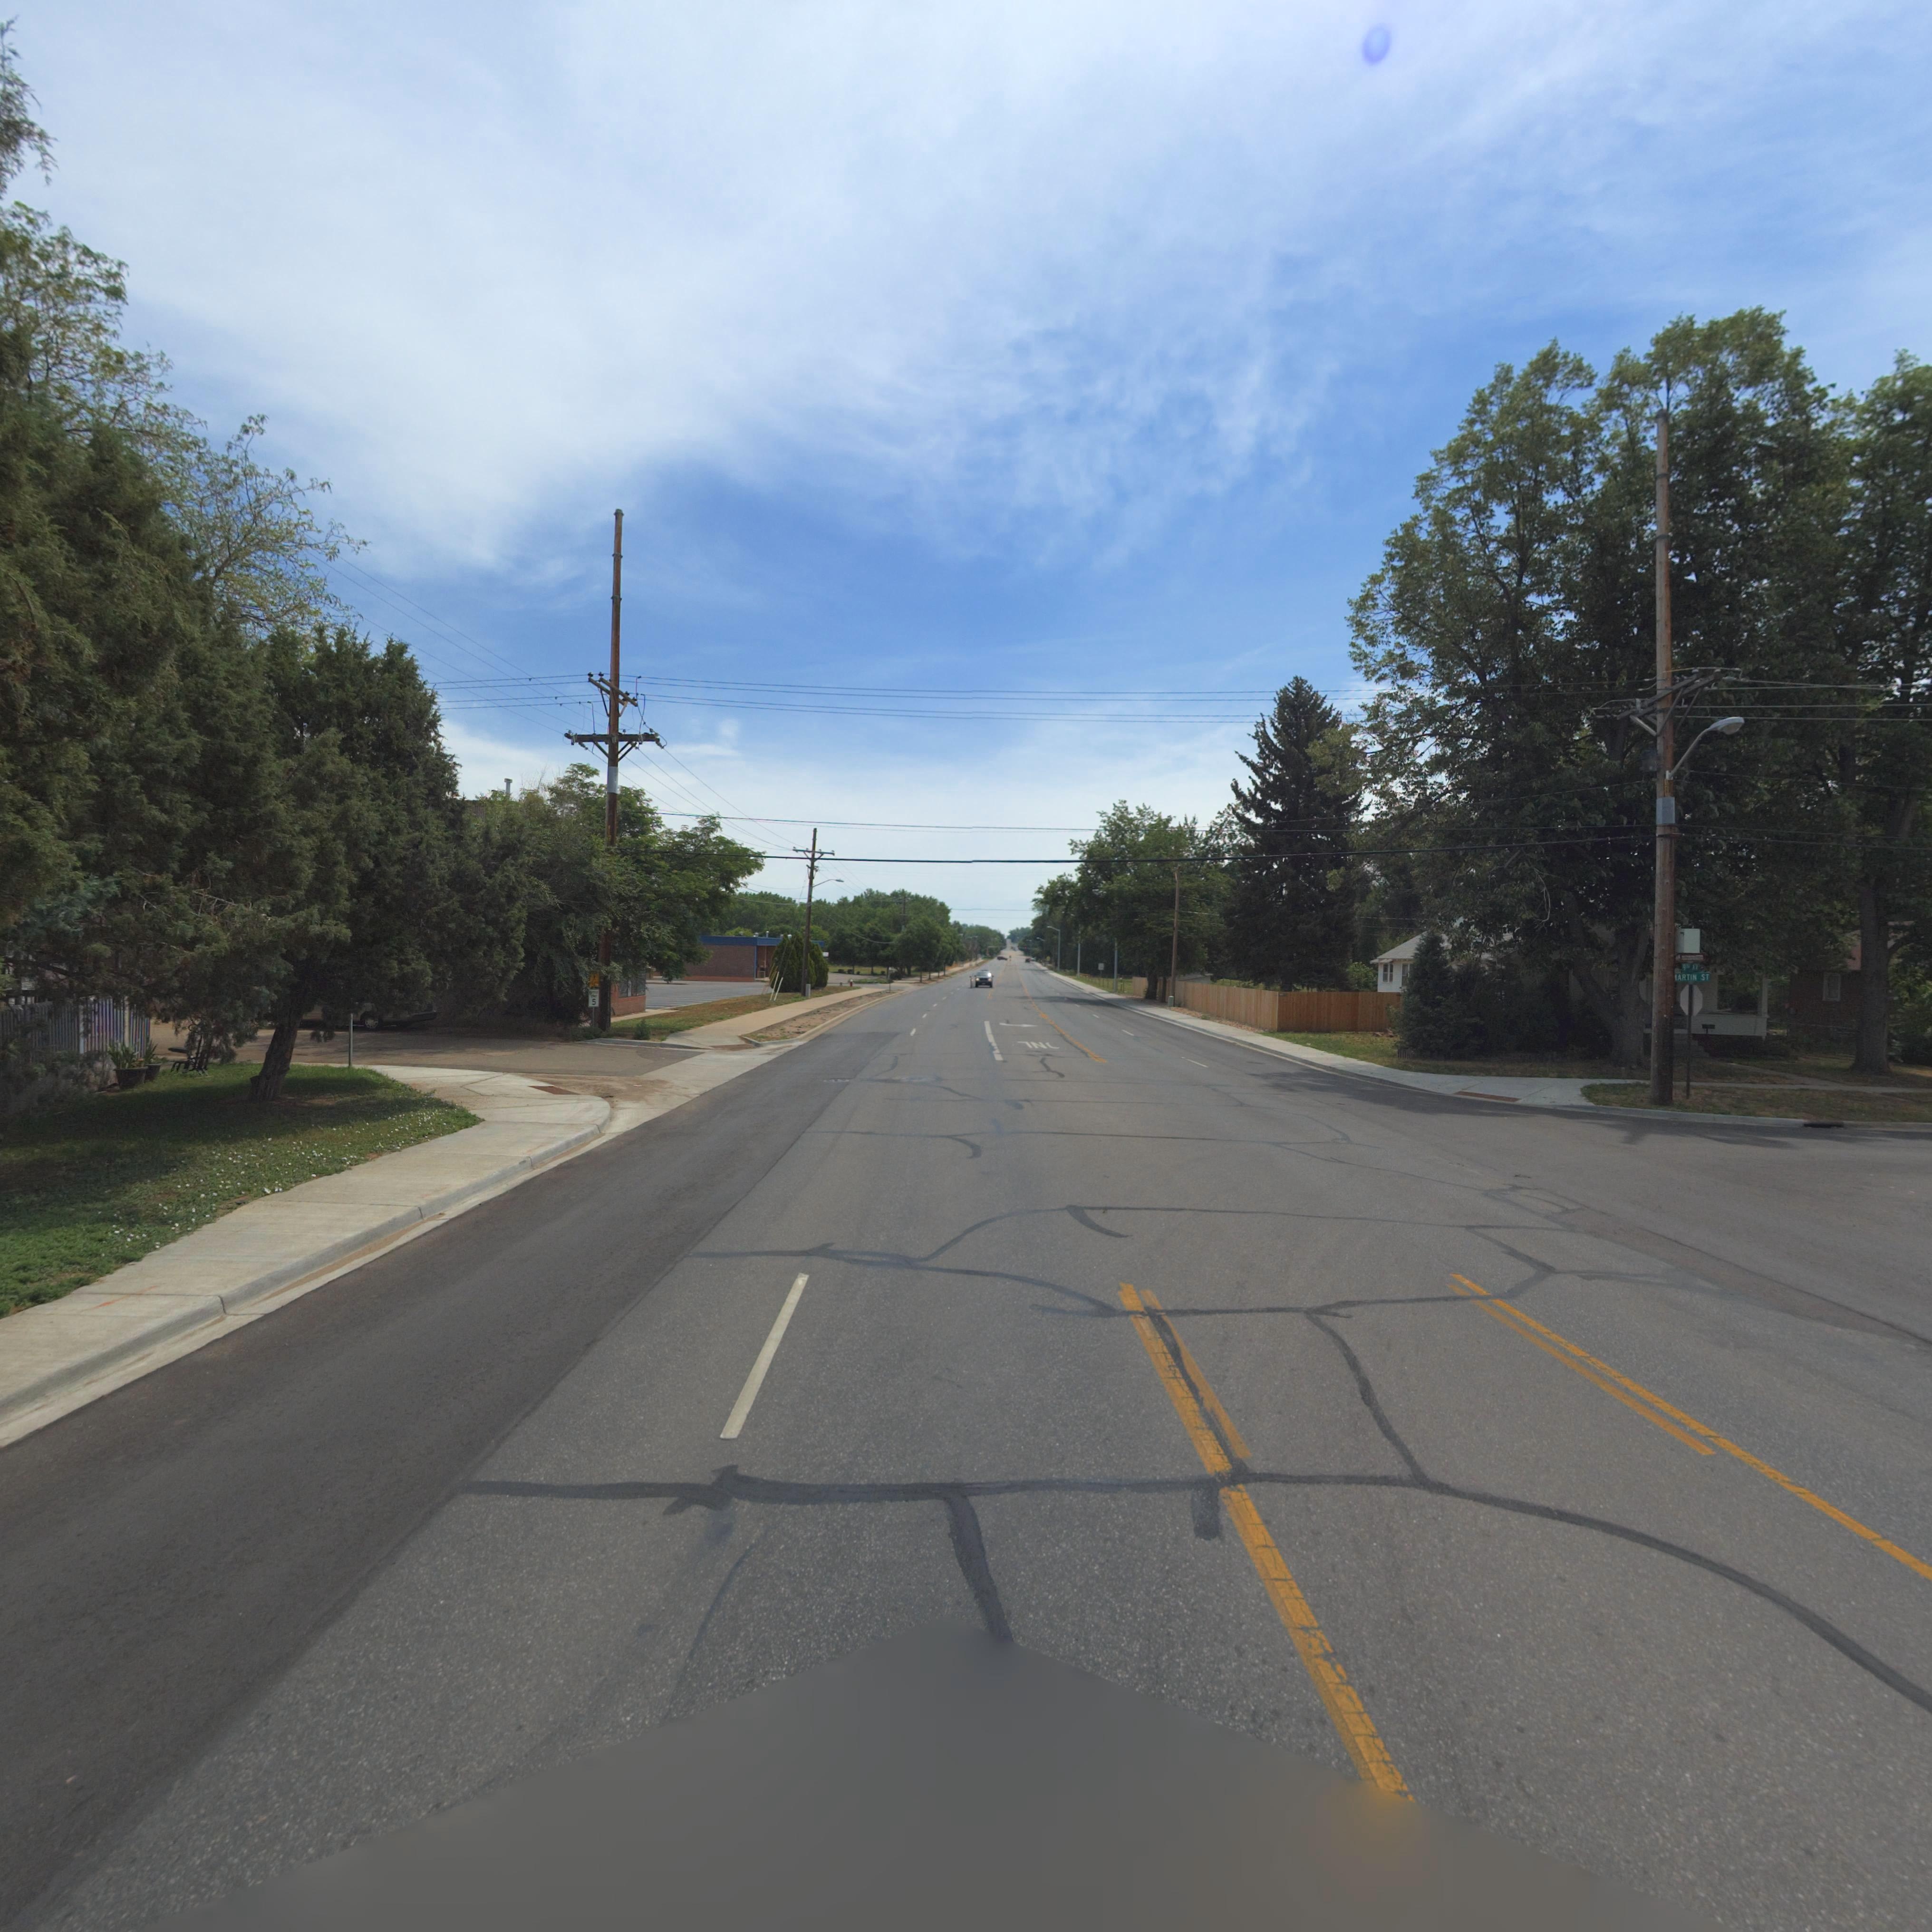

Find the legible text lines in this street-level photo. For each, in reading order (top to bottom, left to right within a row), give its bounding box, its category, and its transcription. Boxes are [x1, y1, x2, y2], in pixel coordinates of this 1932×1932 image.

[1682, 964, 1698, 971] StreetName: 9TH AV
[1675, 974, 1709, 980] StreetName: *ARTIN ST